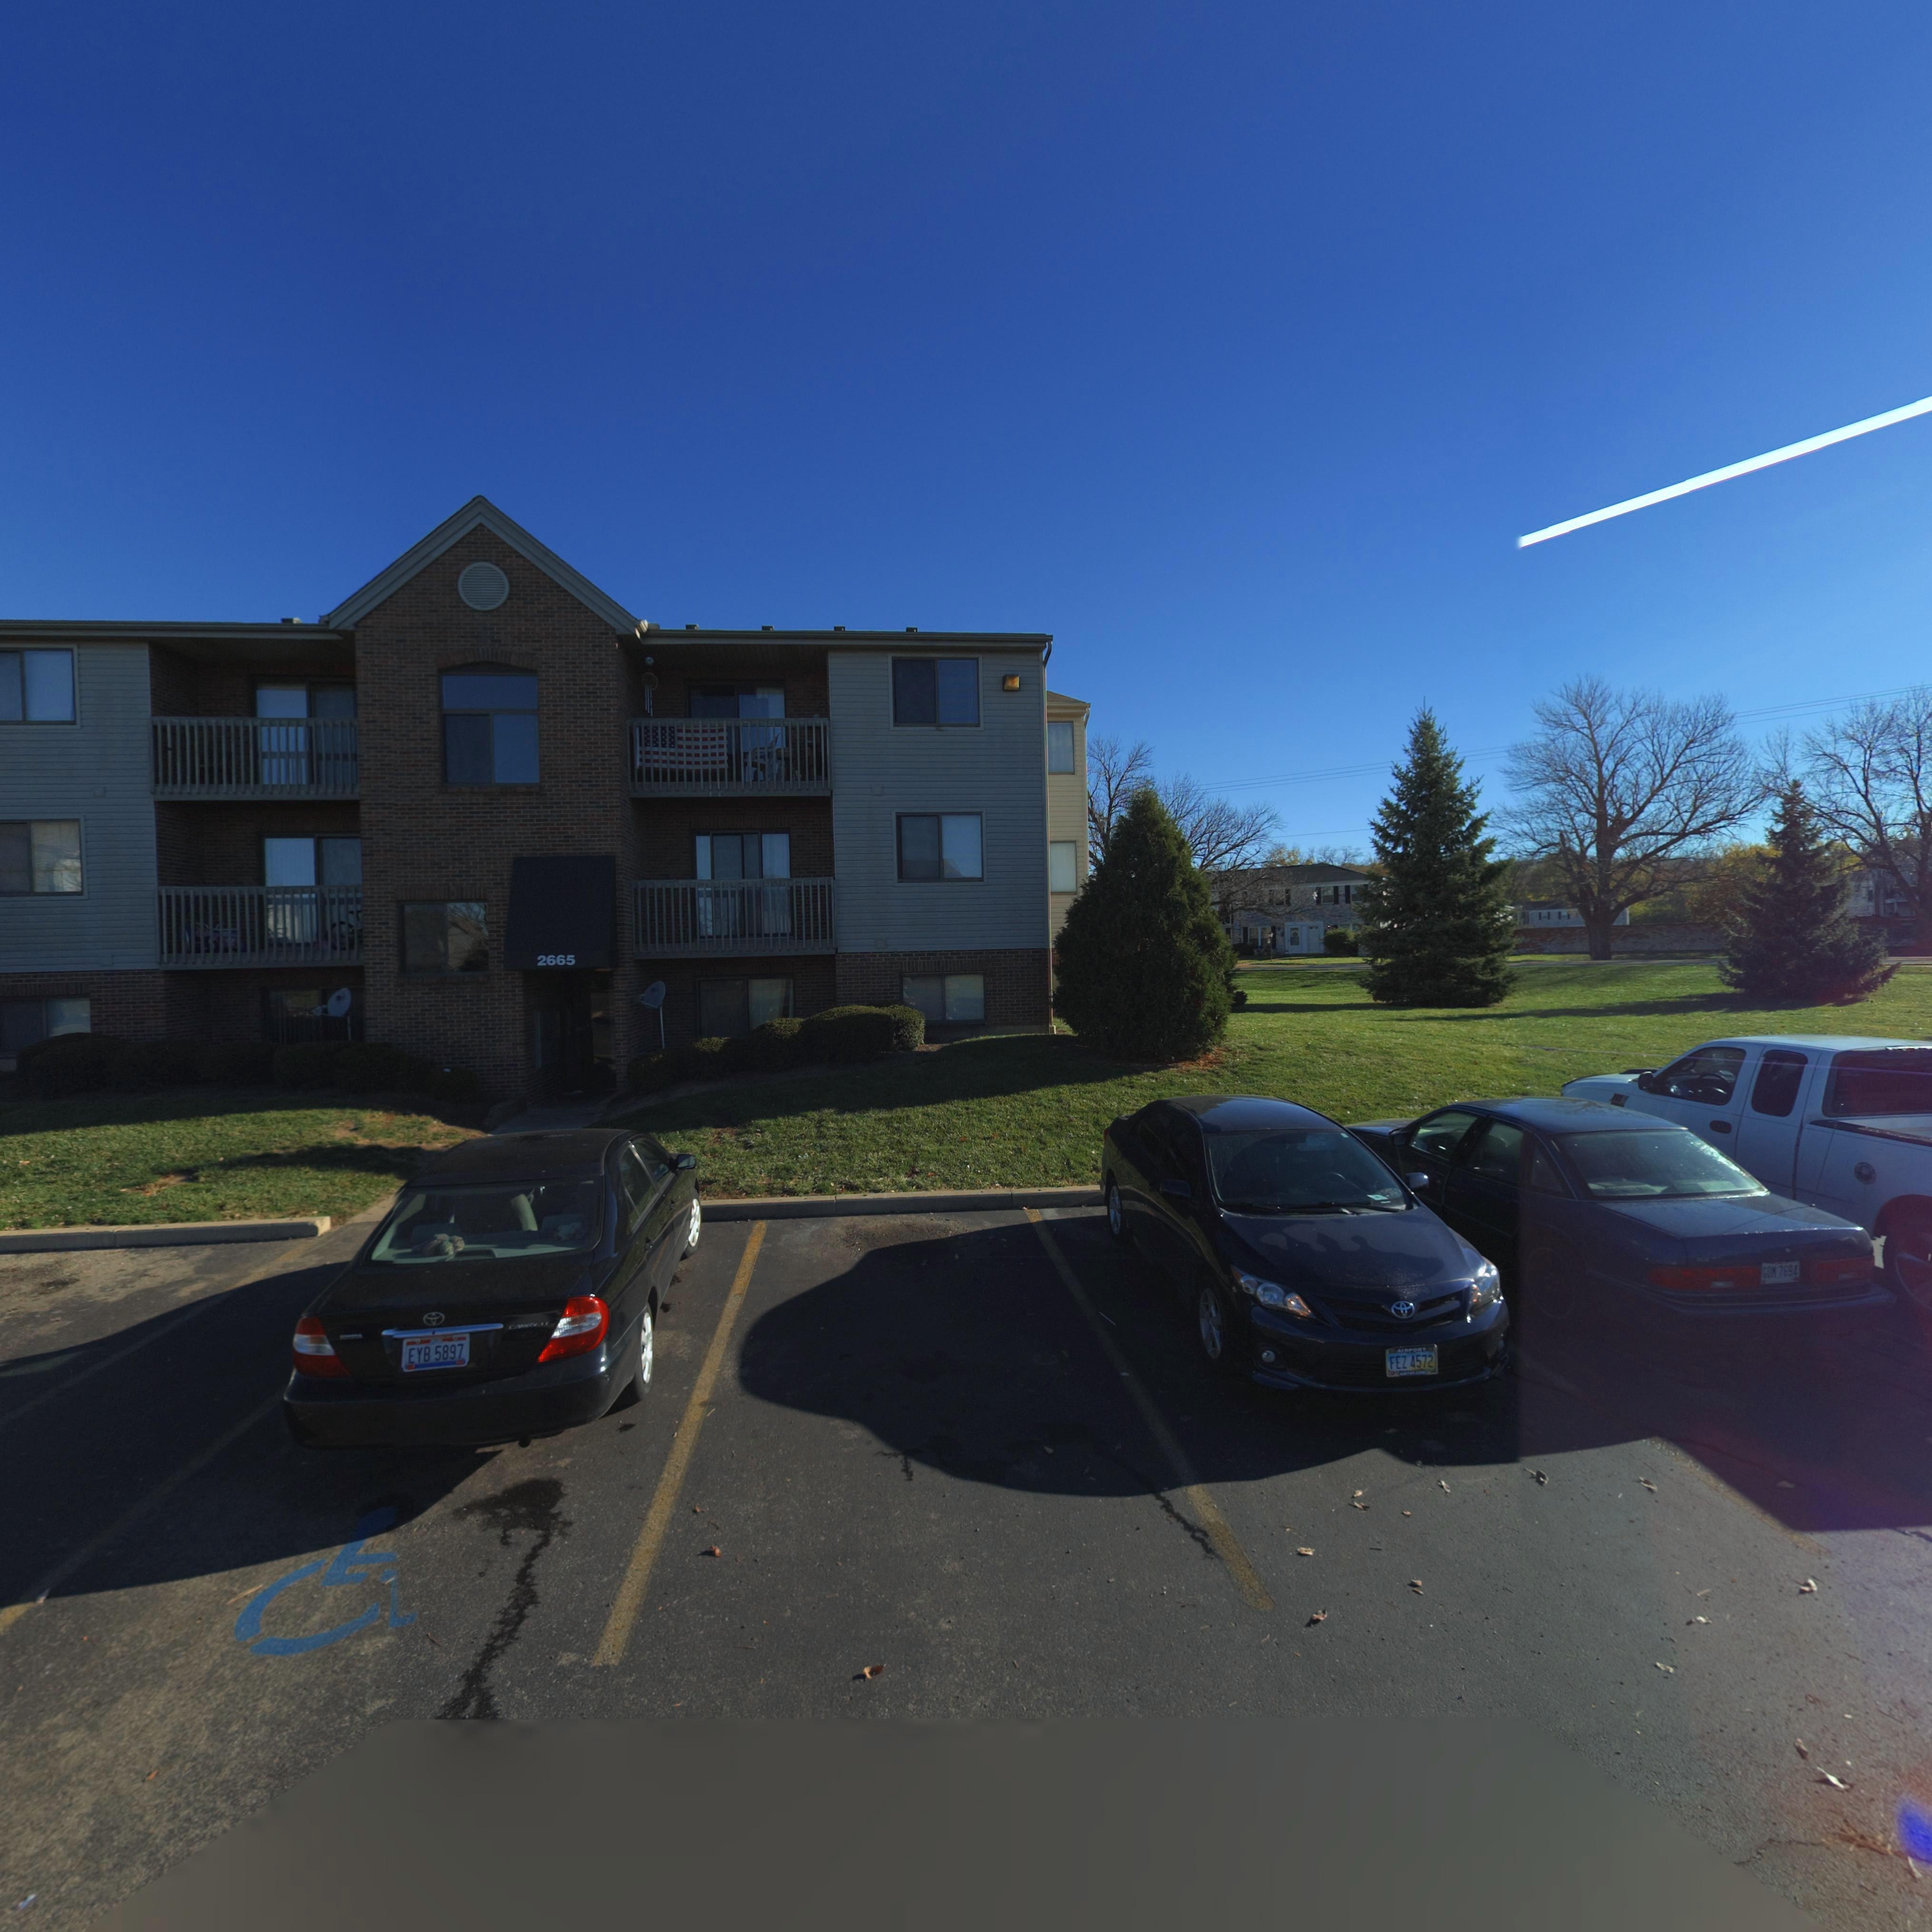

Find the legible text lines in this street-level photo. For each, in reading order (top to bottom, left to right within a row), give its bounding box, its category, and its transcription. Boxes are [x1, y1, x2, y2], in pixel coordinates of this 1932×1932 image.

[536, 954, 576, 966] StreetNumber: 2665